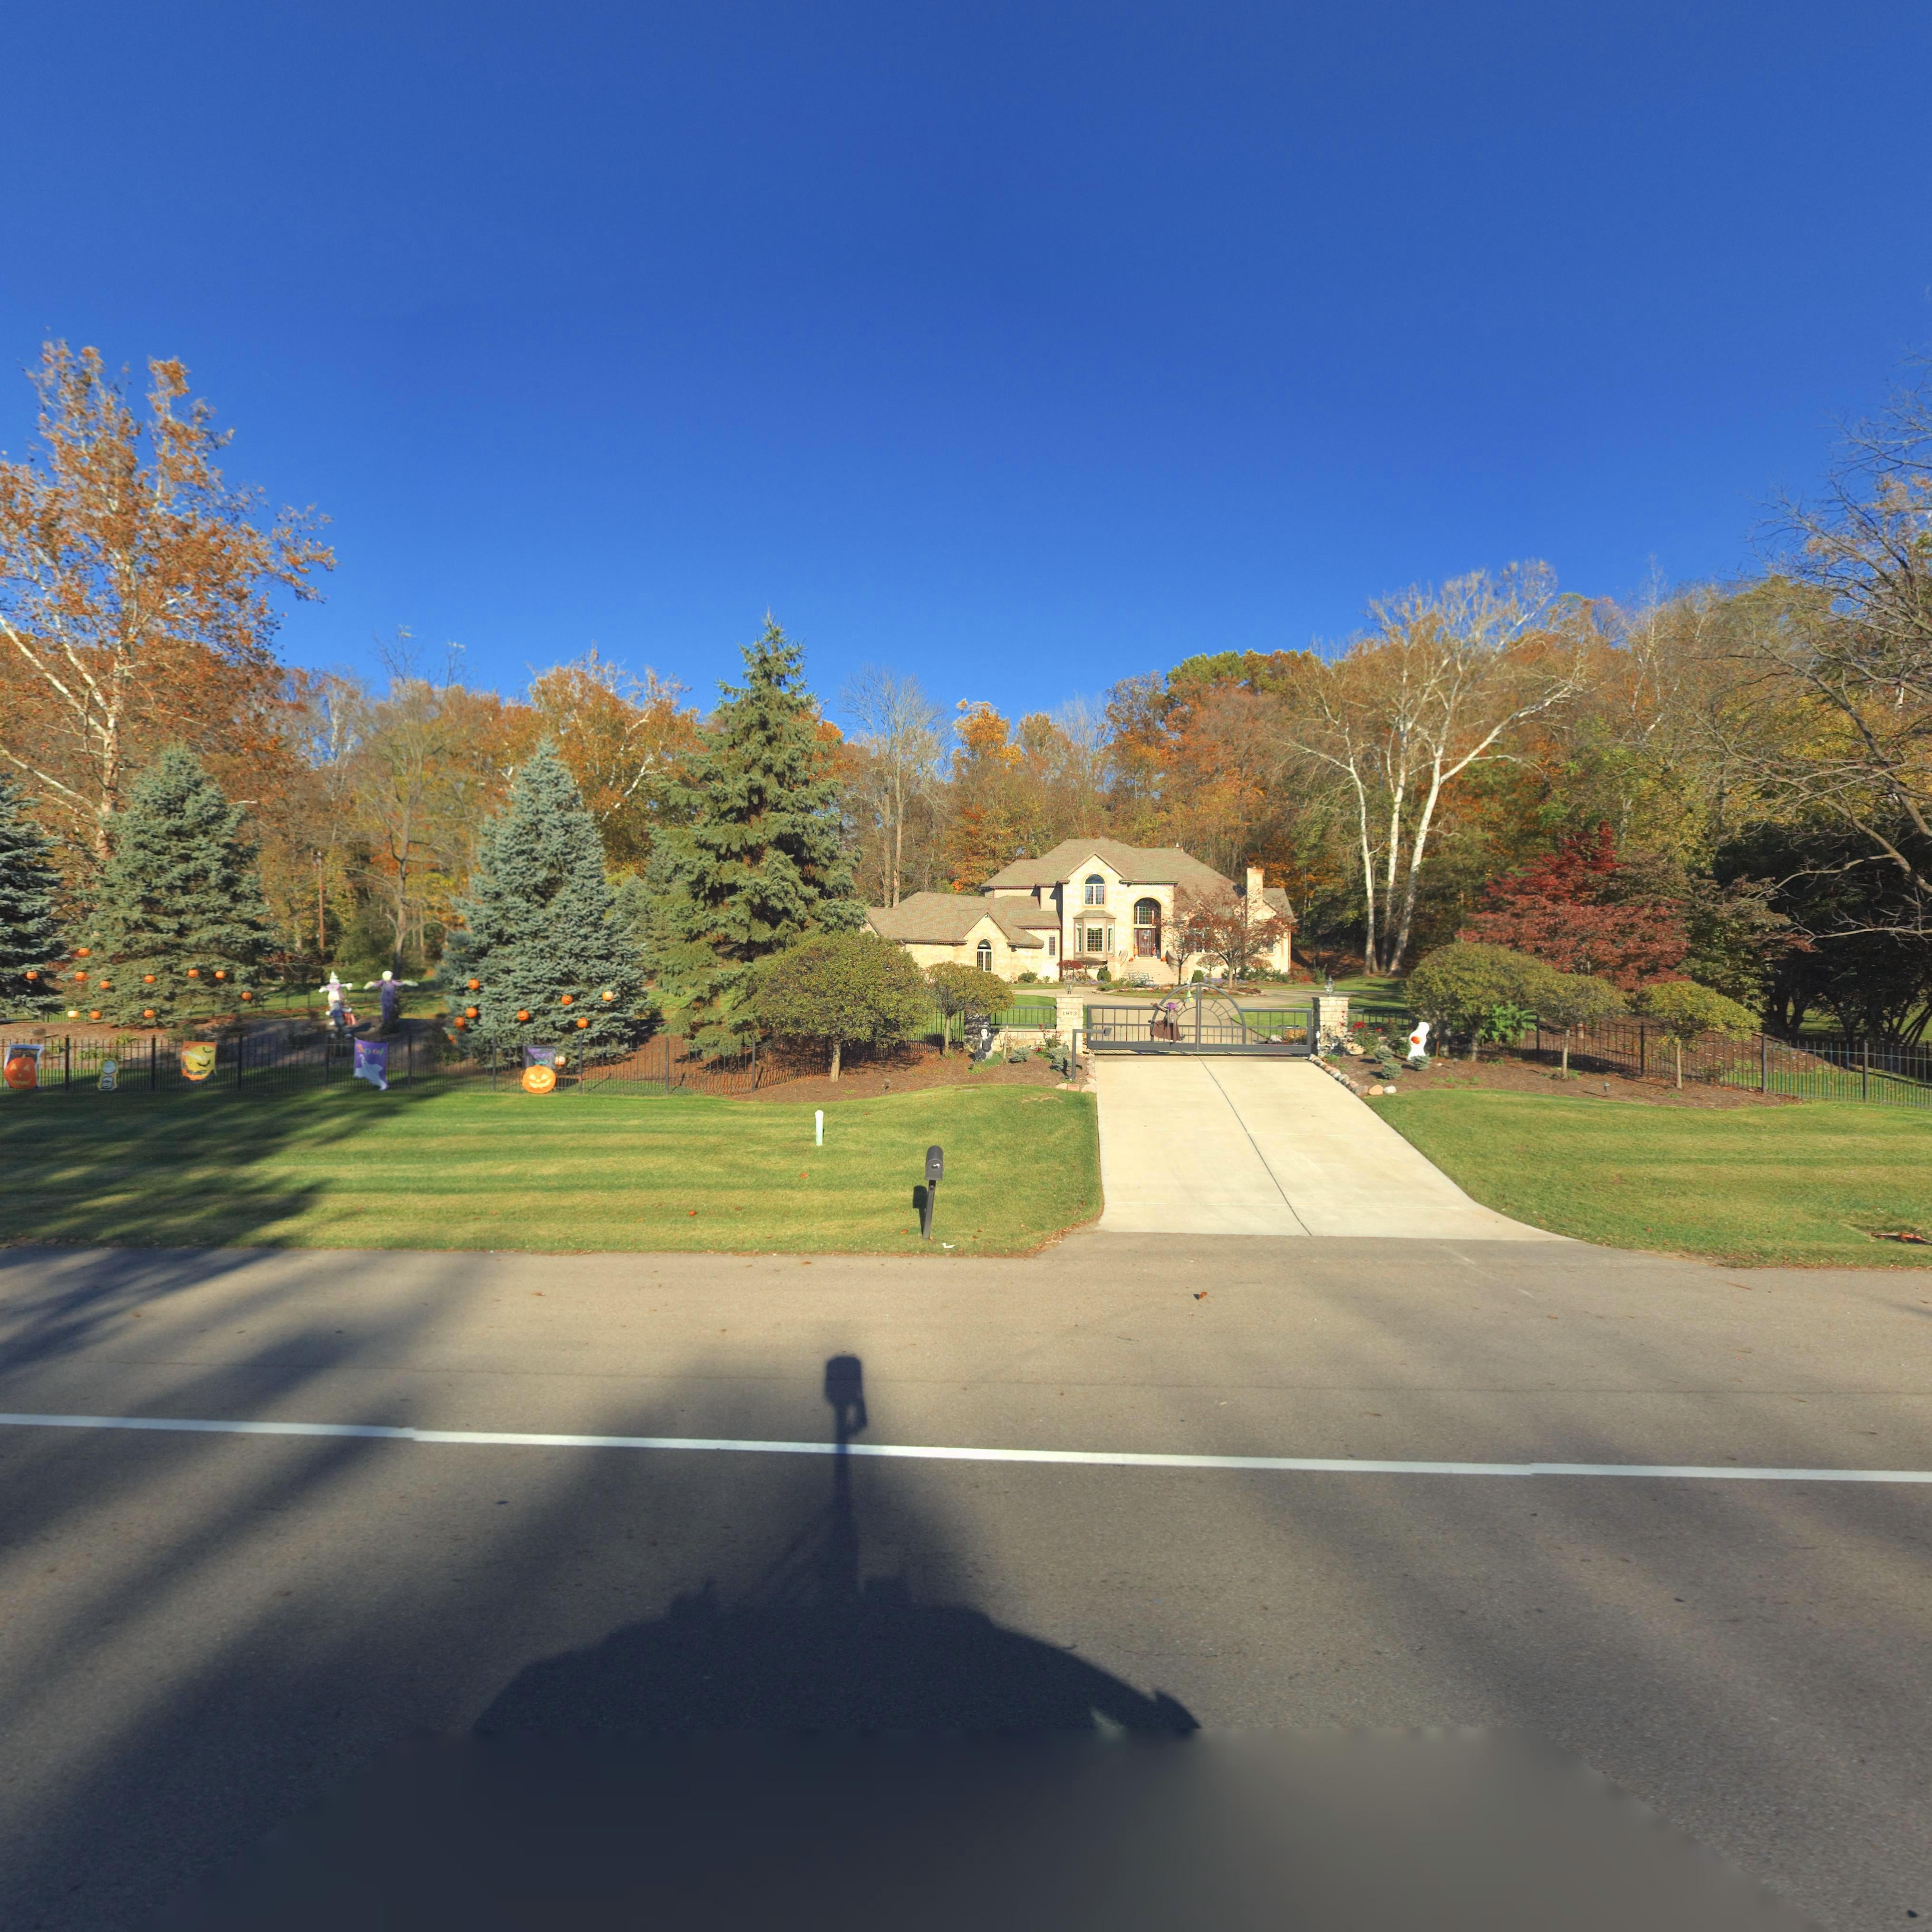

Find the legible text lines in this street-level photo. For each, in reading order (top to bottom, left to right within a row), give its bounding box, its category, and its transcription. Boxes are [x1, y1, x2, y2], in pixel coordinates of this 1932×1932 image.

[1062, 1011, 1077, 1016] StreetNumber: 1973
[356, 1043, 380, 1057] None: BOO
[532, 1052, 552, 1060] None: Cr**p*rs